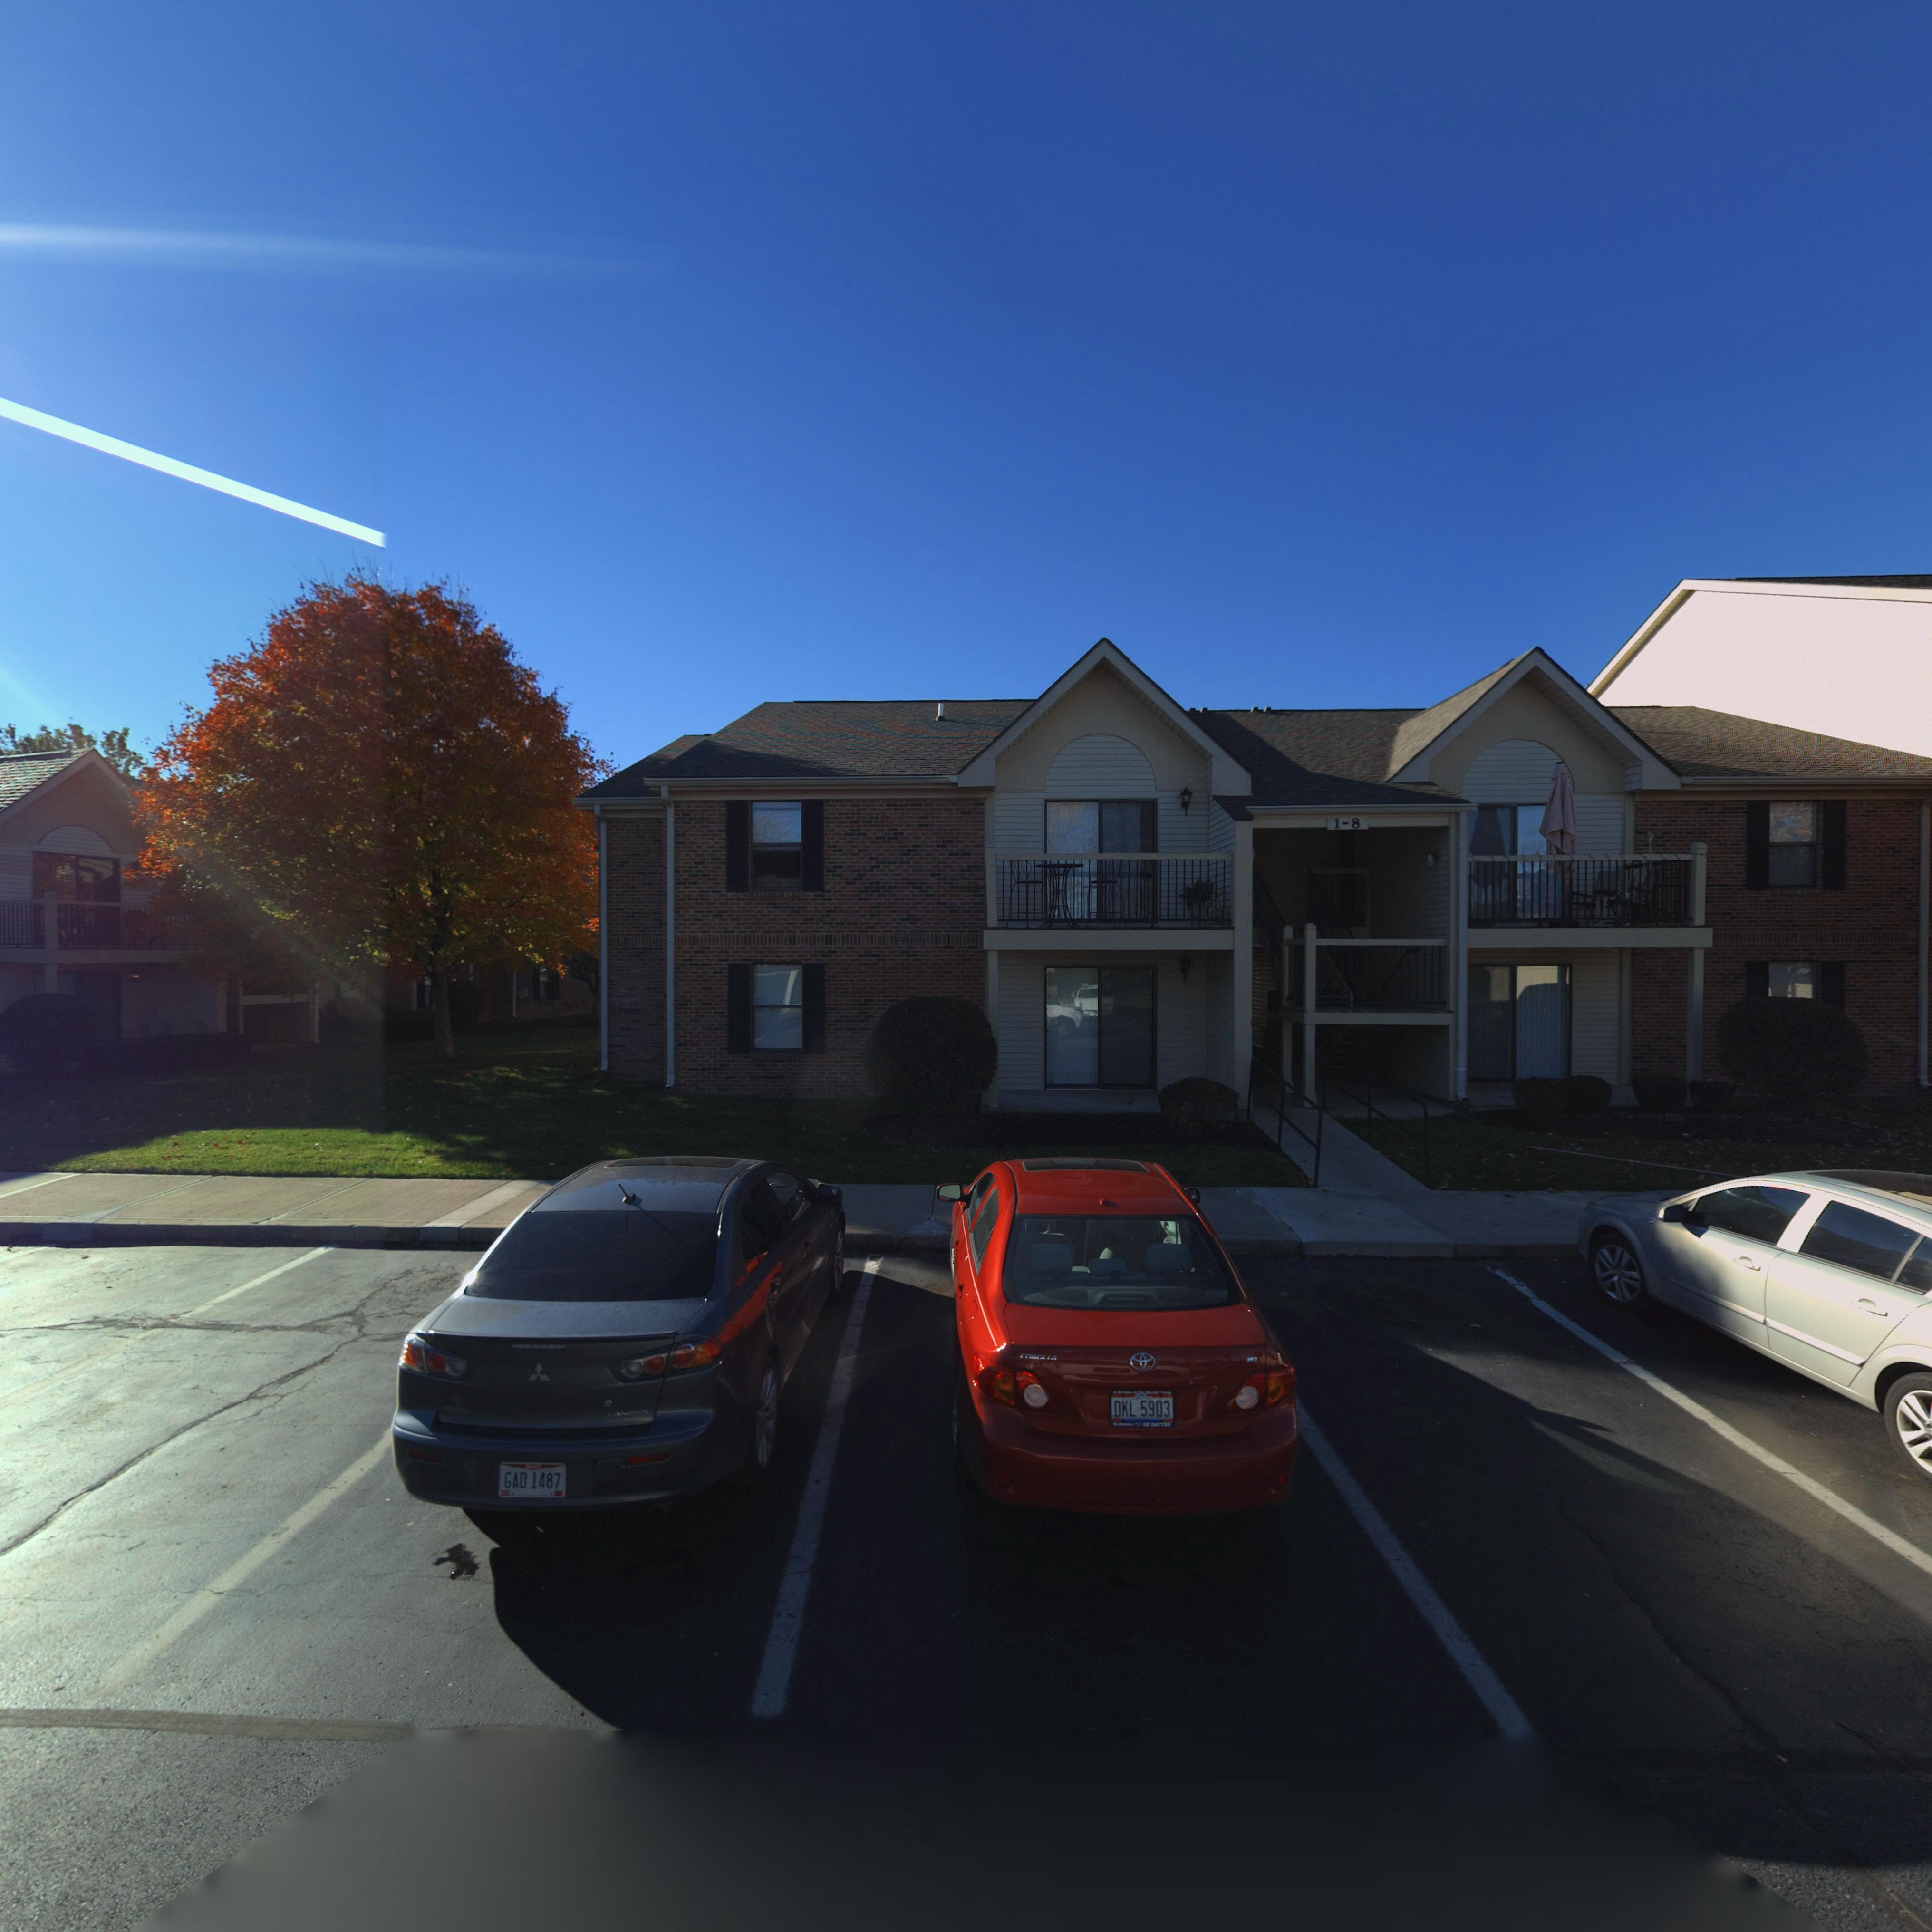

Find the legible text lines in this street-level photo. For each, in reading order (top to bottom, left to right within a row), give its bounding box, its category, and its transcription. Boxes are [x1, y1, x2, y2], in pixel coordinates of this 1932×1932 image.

[1333, 817, 1361, 829] StreetNumber: 1-8